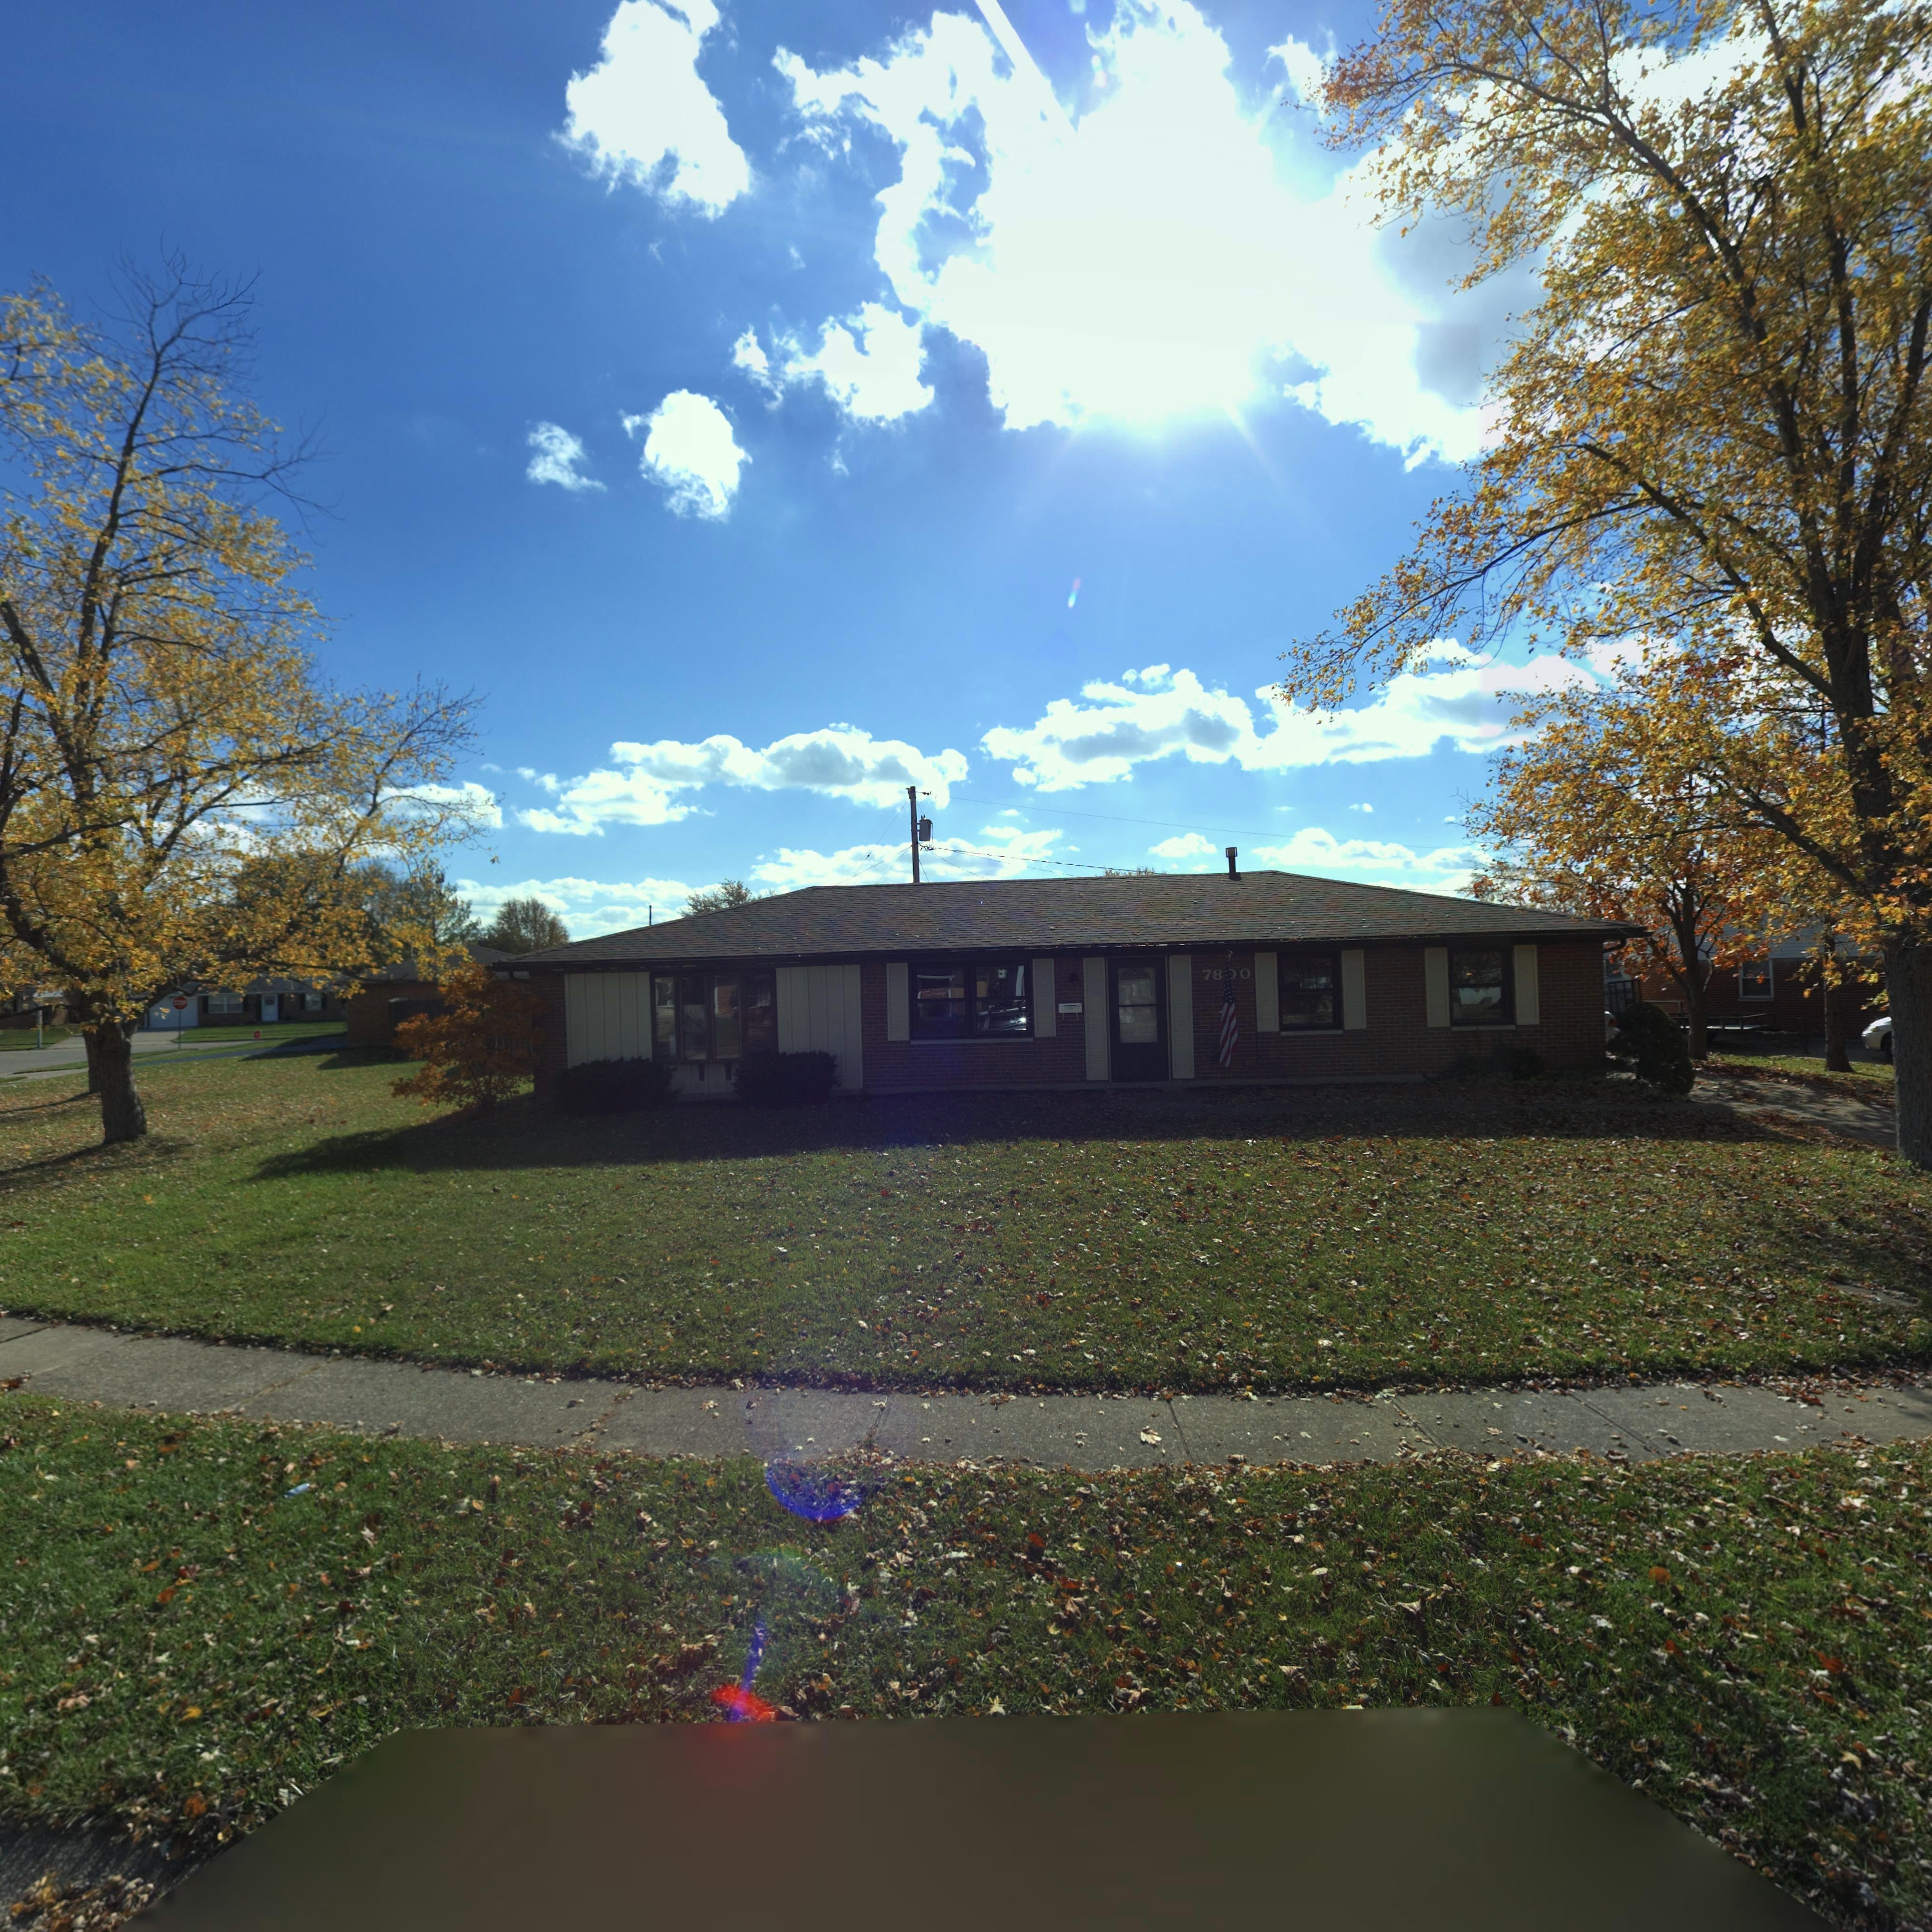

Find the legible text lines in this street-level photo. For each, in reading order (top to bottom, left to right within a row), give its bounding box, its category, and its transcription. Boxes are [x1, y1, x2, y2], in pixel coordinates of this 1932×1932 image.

[1202, 968, 1251, 981] StreetNumber: 78*0